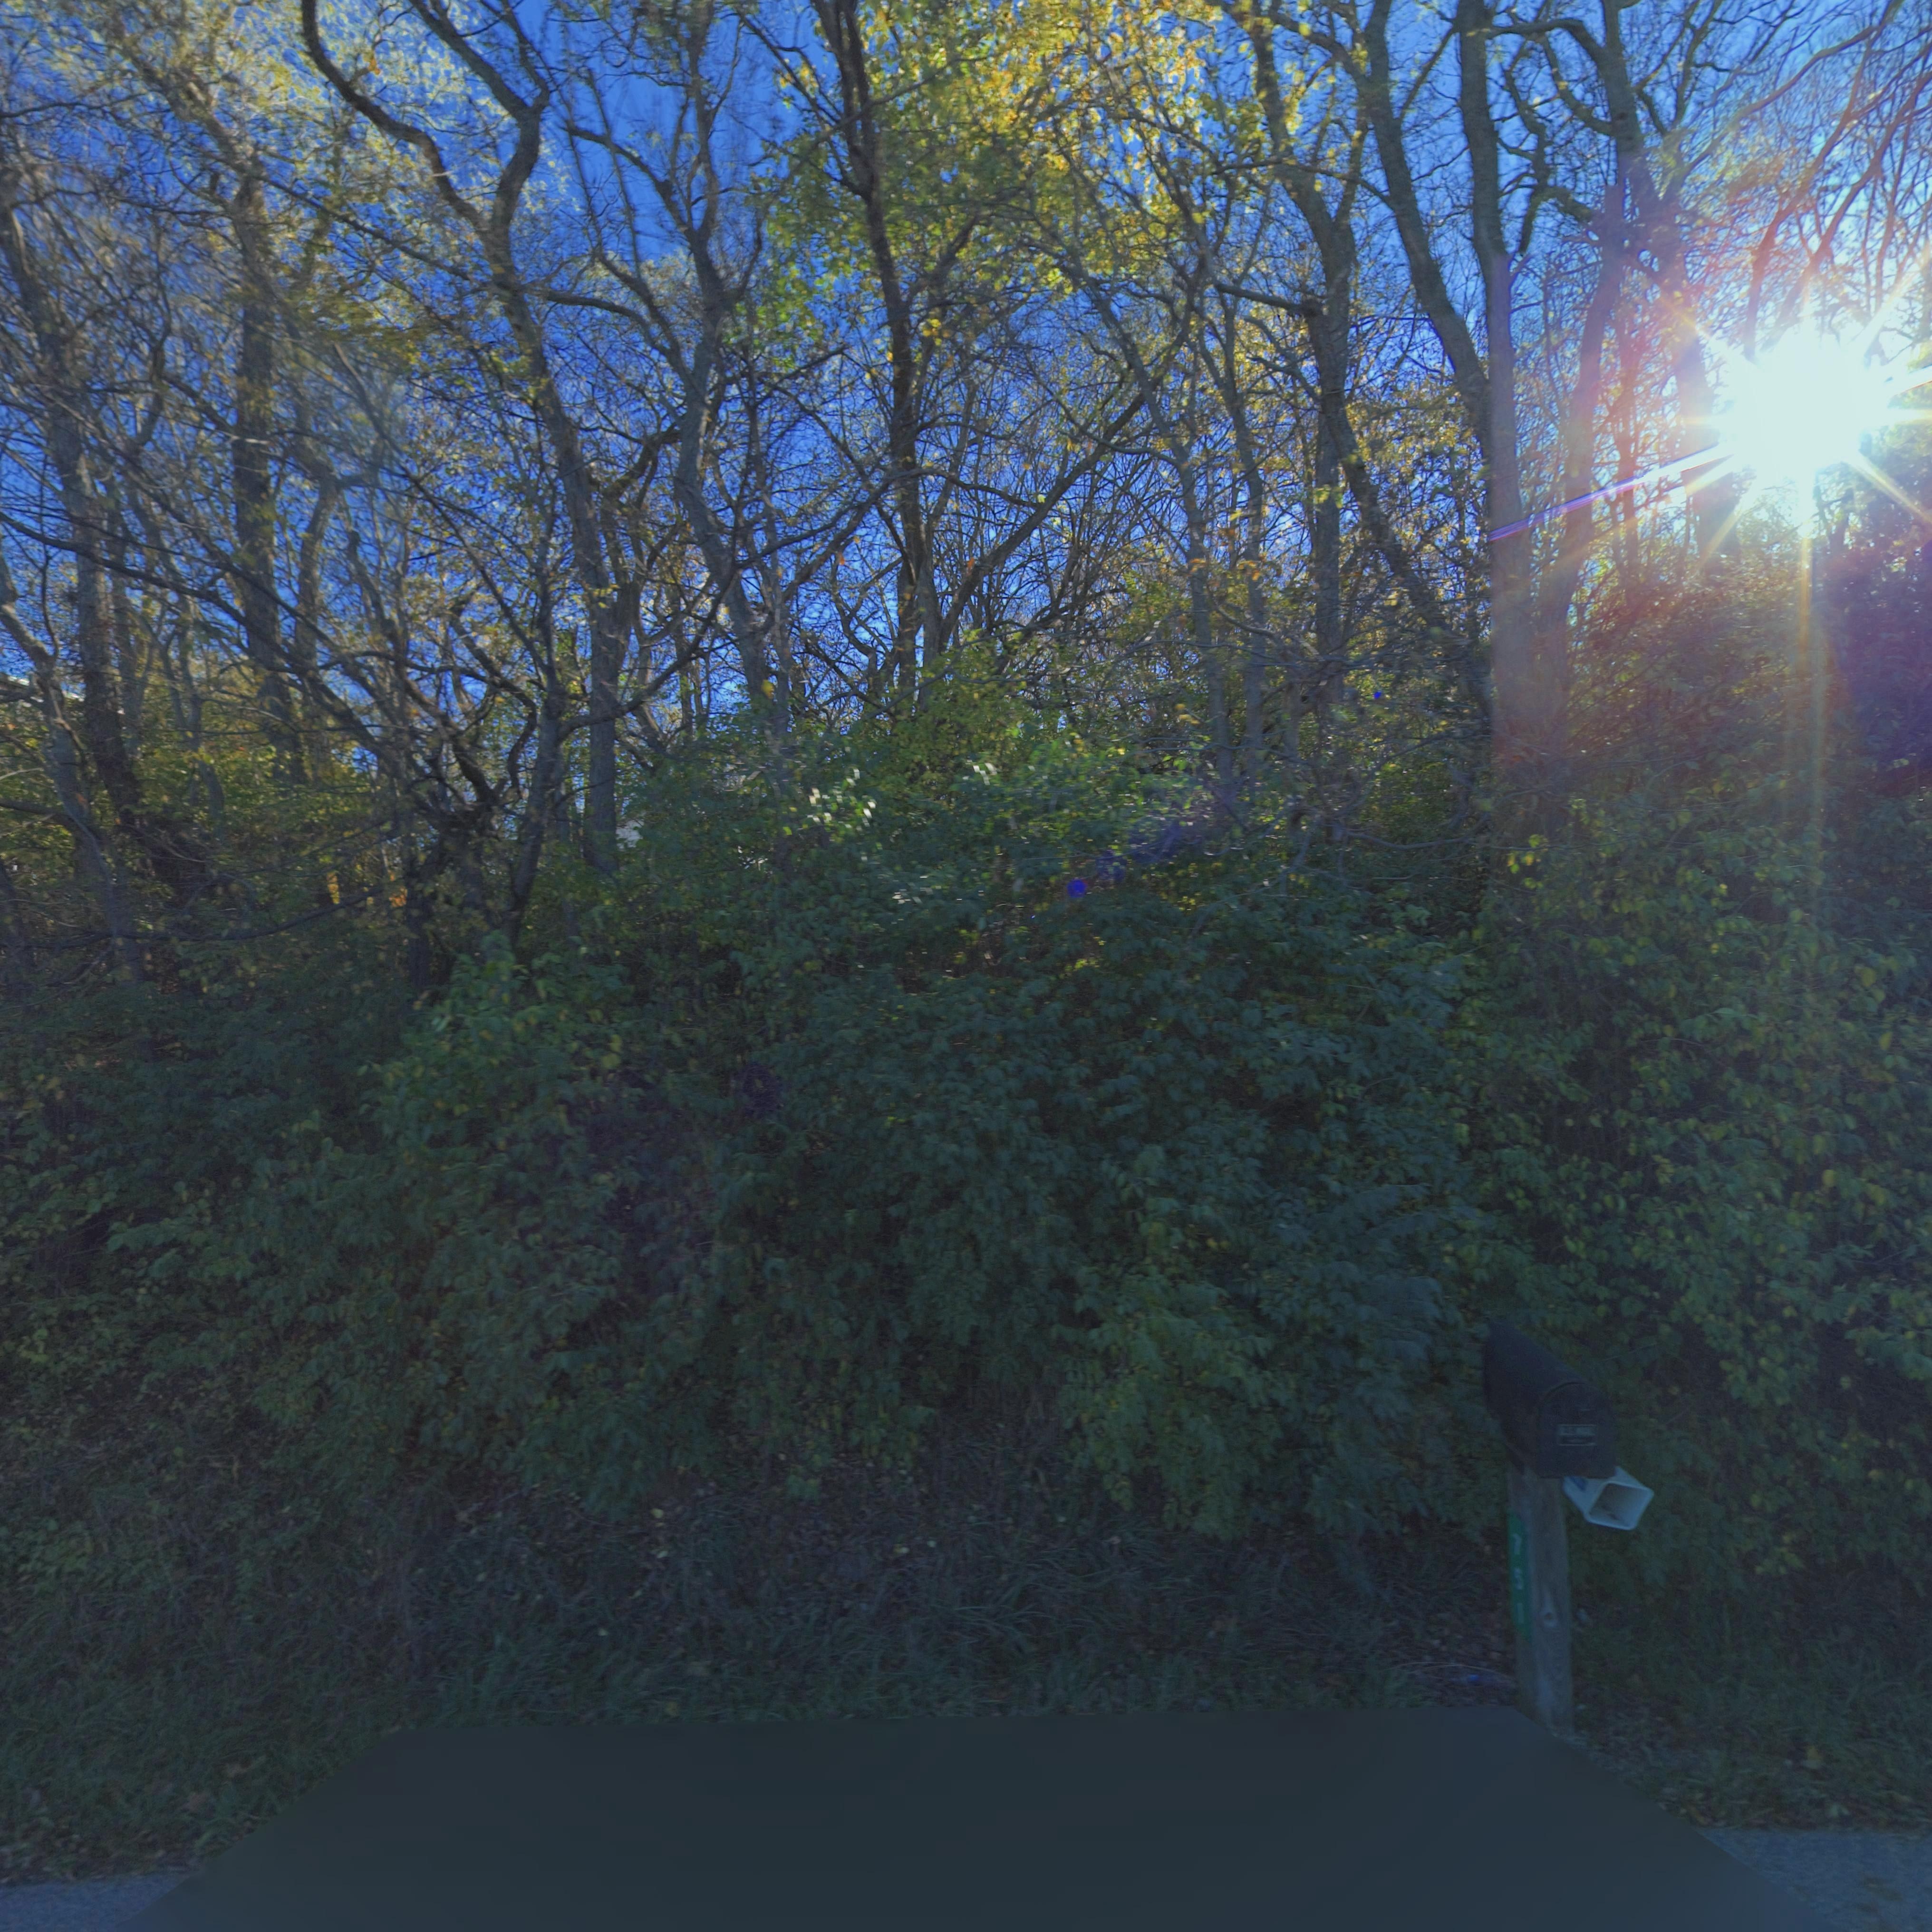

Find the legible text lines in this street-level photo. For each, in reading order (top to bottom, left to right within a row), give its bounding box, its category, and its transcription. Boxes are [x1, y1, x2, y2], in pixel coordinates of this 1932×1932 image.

[1510, 1527, 1526, 1627] StreetNumber: 751